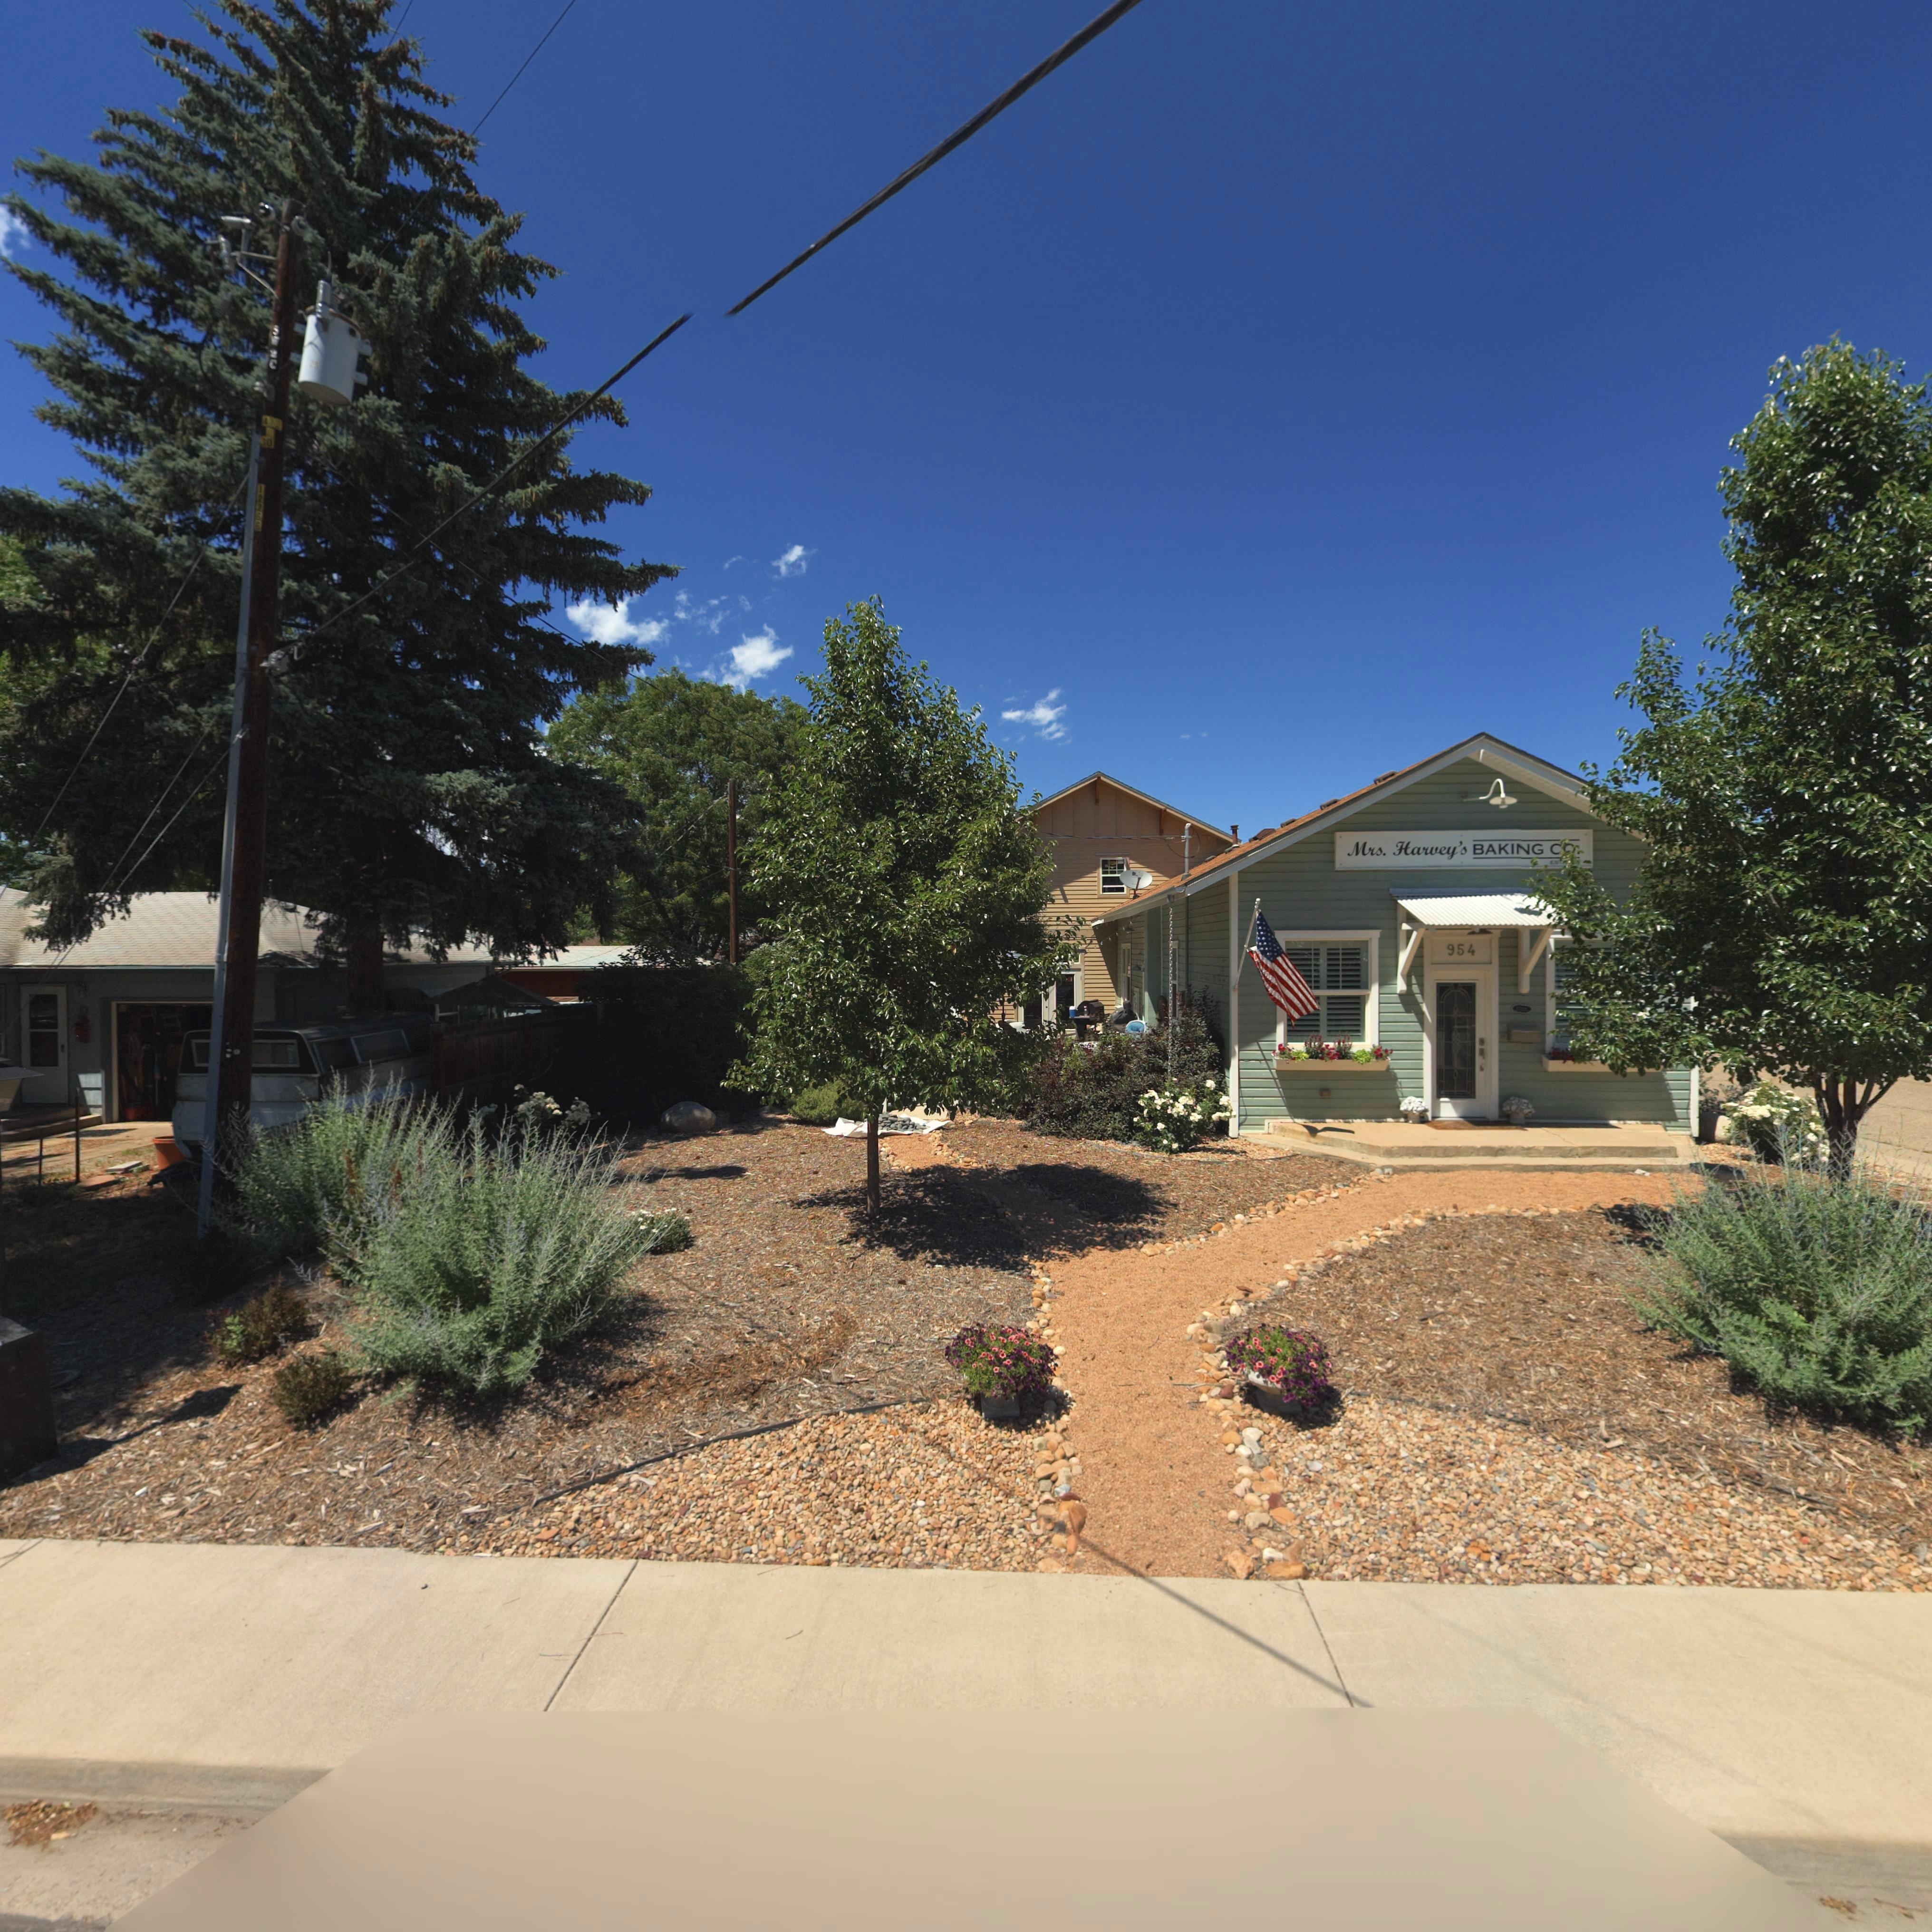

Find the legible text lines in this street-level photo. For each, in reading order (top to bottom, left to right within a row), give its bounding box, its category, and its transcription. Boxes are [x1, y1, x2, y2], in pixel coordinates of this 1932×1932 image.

[1346, 840, 1576, 860] BusinessName: Mrs. Harvey's BAKING C*
[1447, 943, 1476, 956] StreetNumber: 954